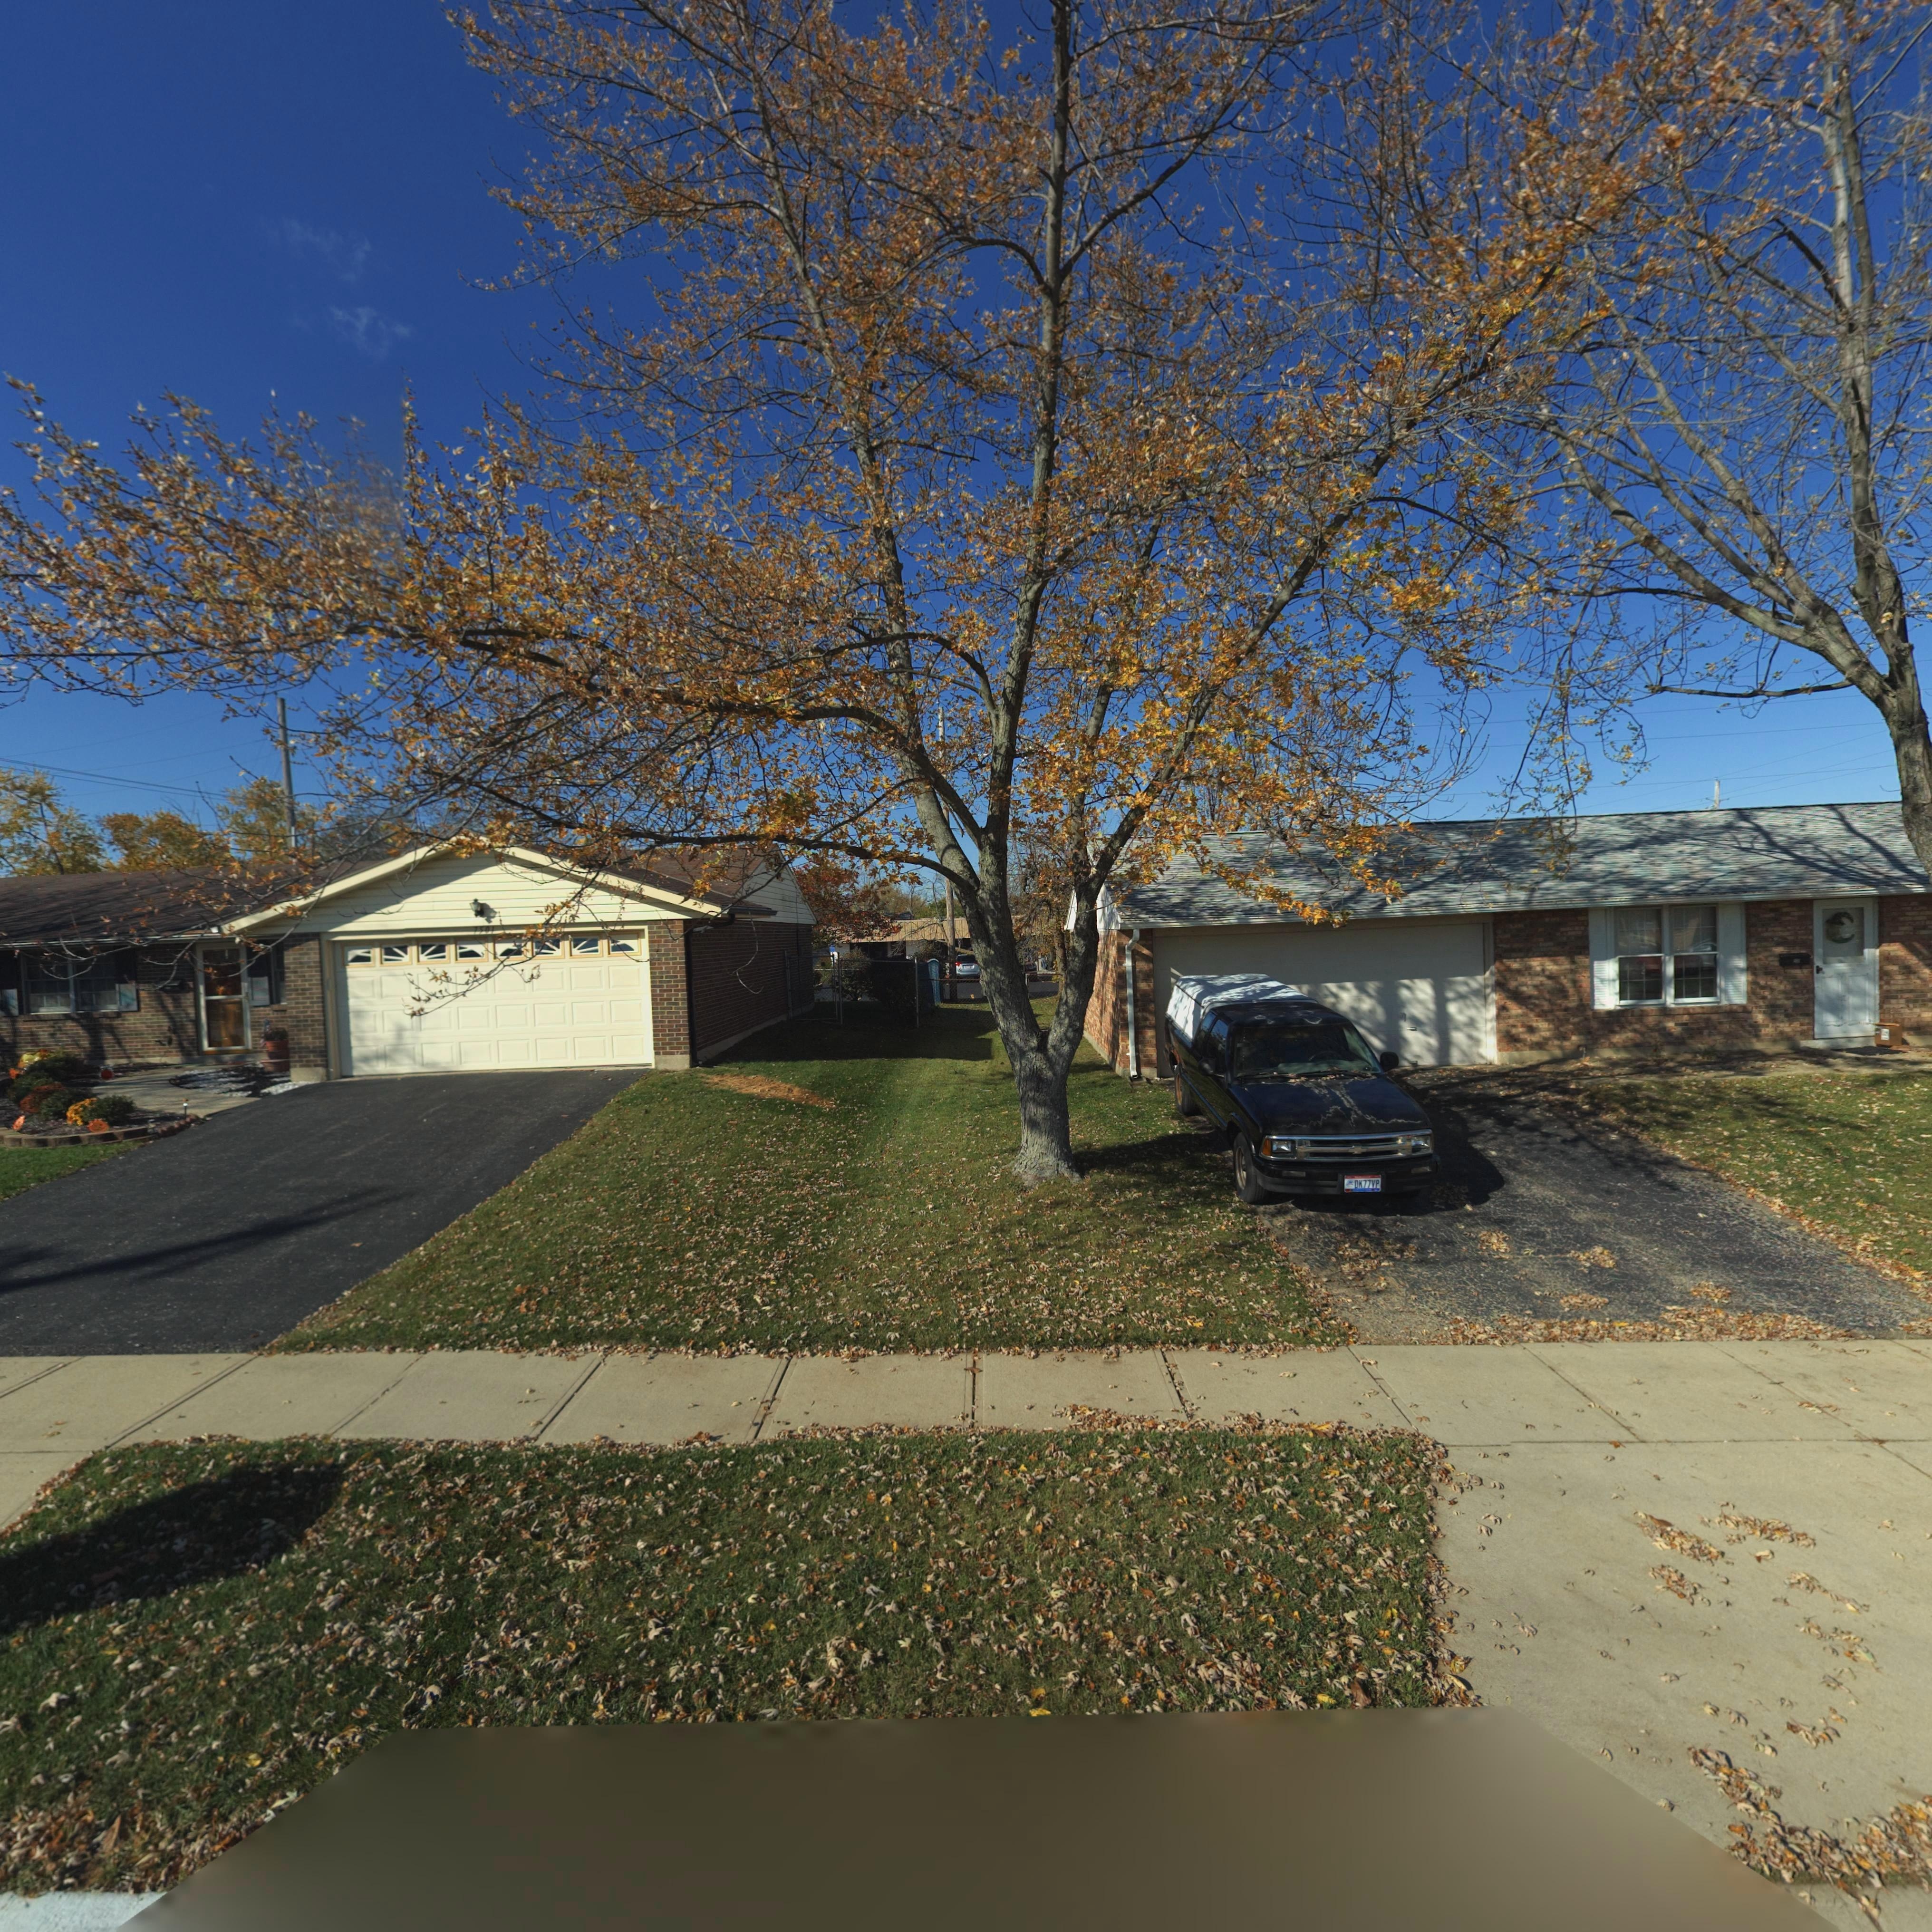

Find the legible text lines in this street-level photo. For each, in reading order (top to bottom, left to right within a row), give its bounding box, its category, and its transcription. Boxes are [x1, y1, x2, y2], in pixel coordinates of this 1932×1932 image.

[473, 925, 496, 935] StreetNumber: 7501